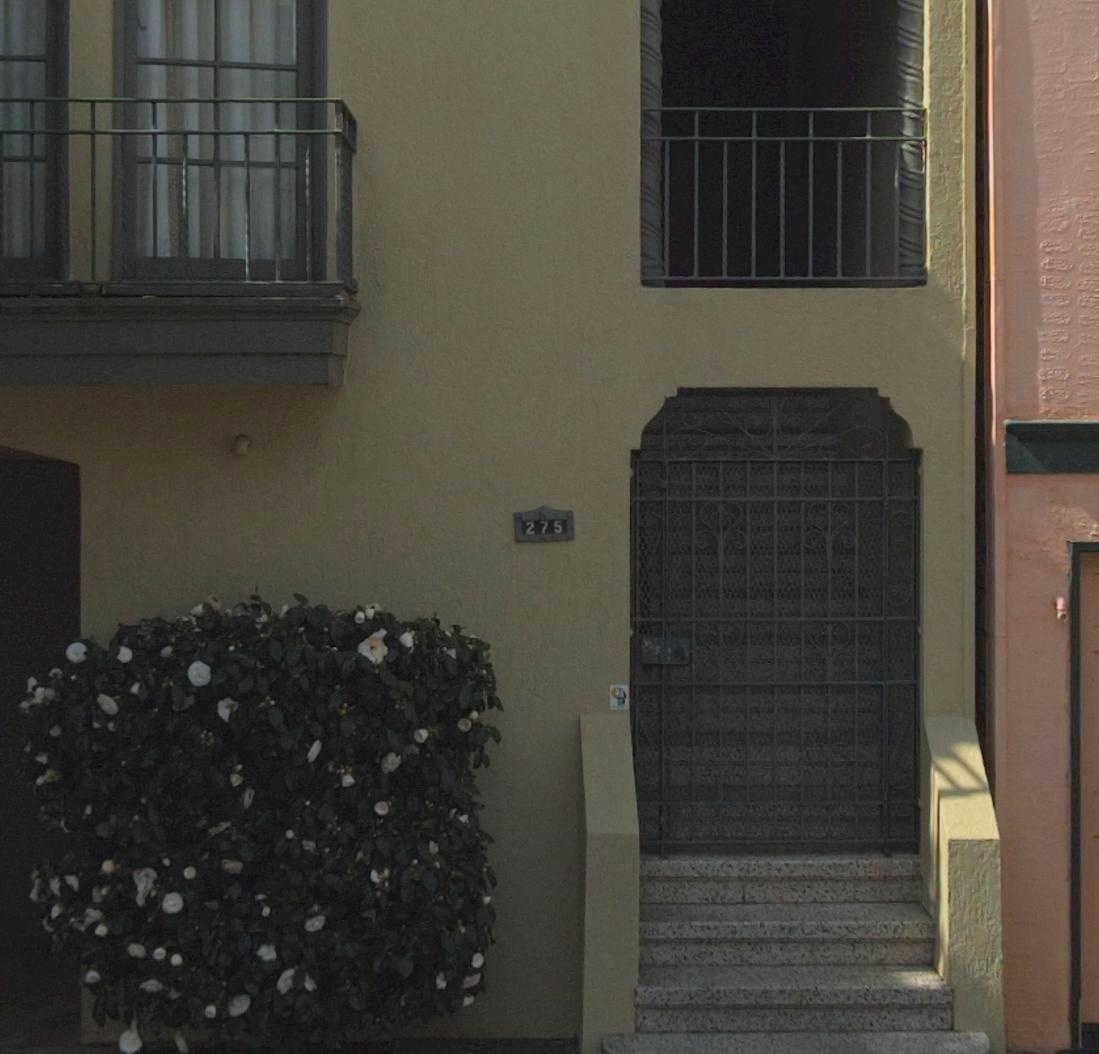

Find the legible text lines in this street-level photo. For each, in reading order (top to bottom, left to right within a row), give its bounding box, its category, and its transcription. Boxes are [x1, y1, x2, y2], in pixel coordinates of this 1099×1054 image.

[523, 518, 564, 537] StreetNumber: 275